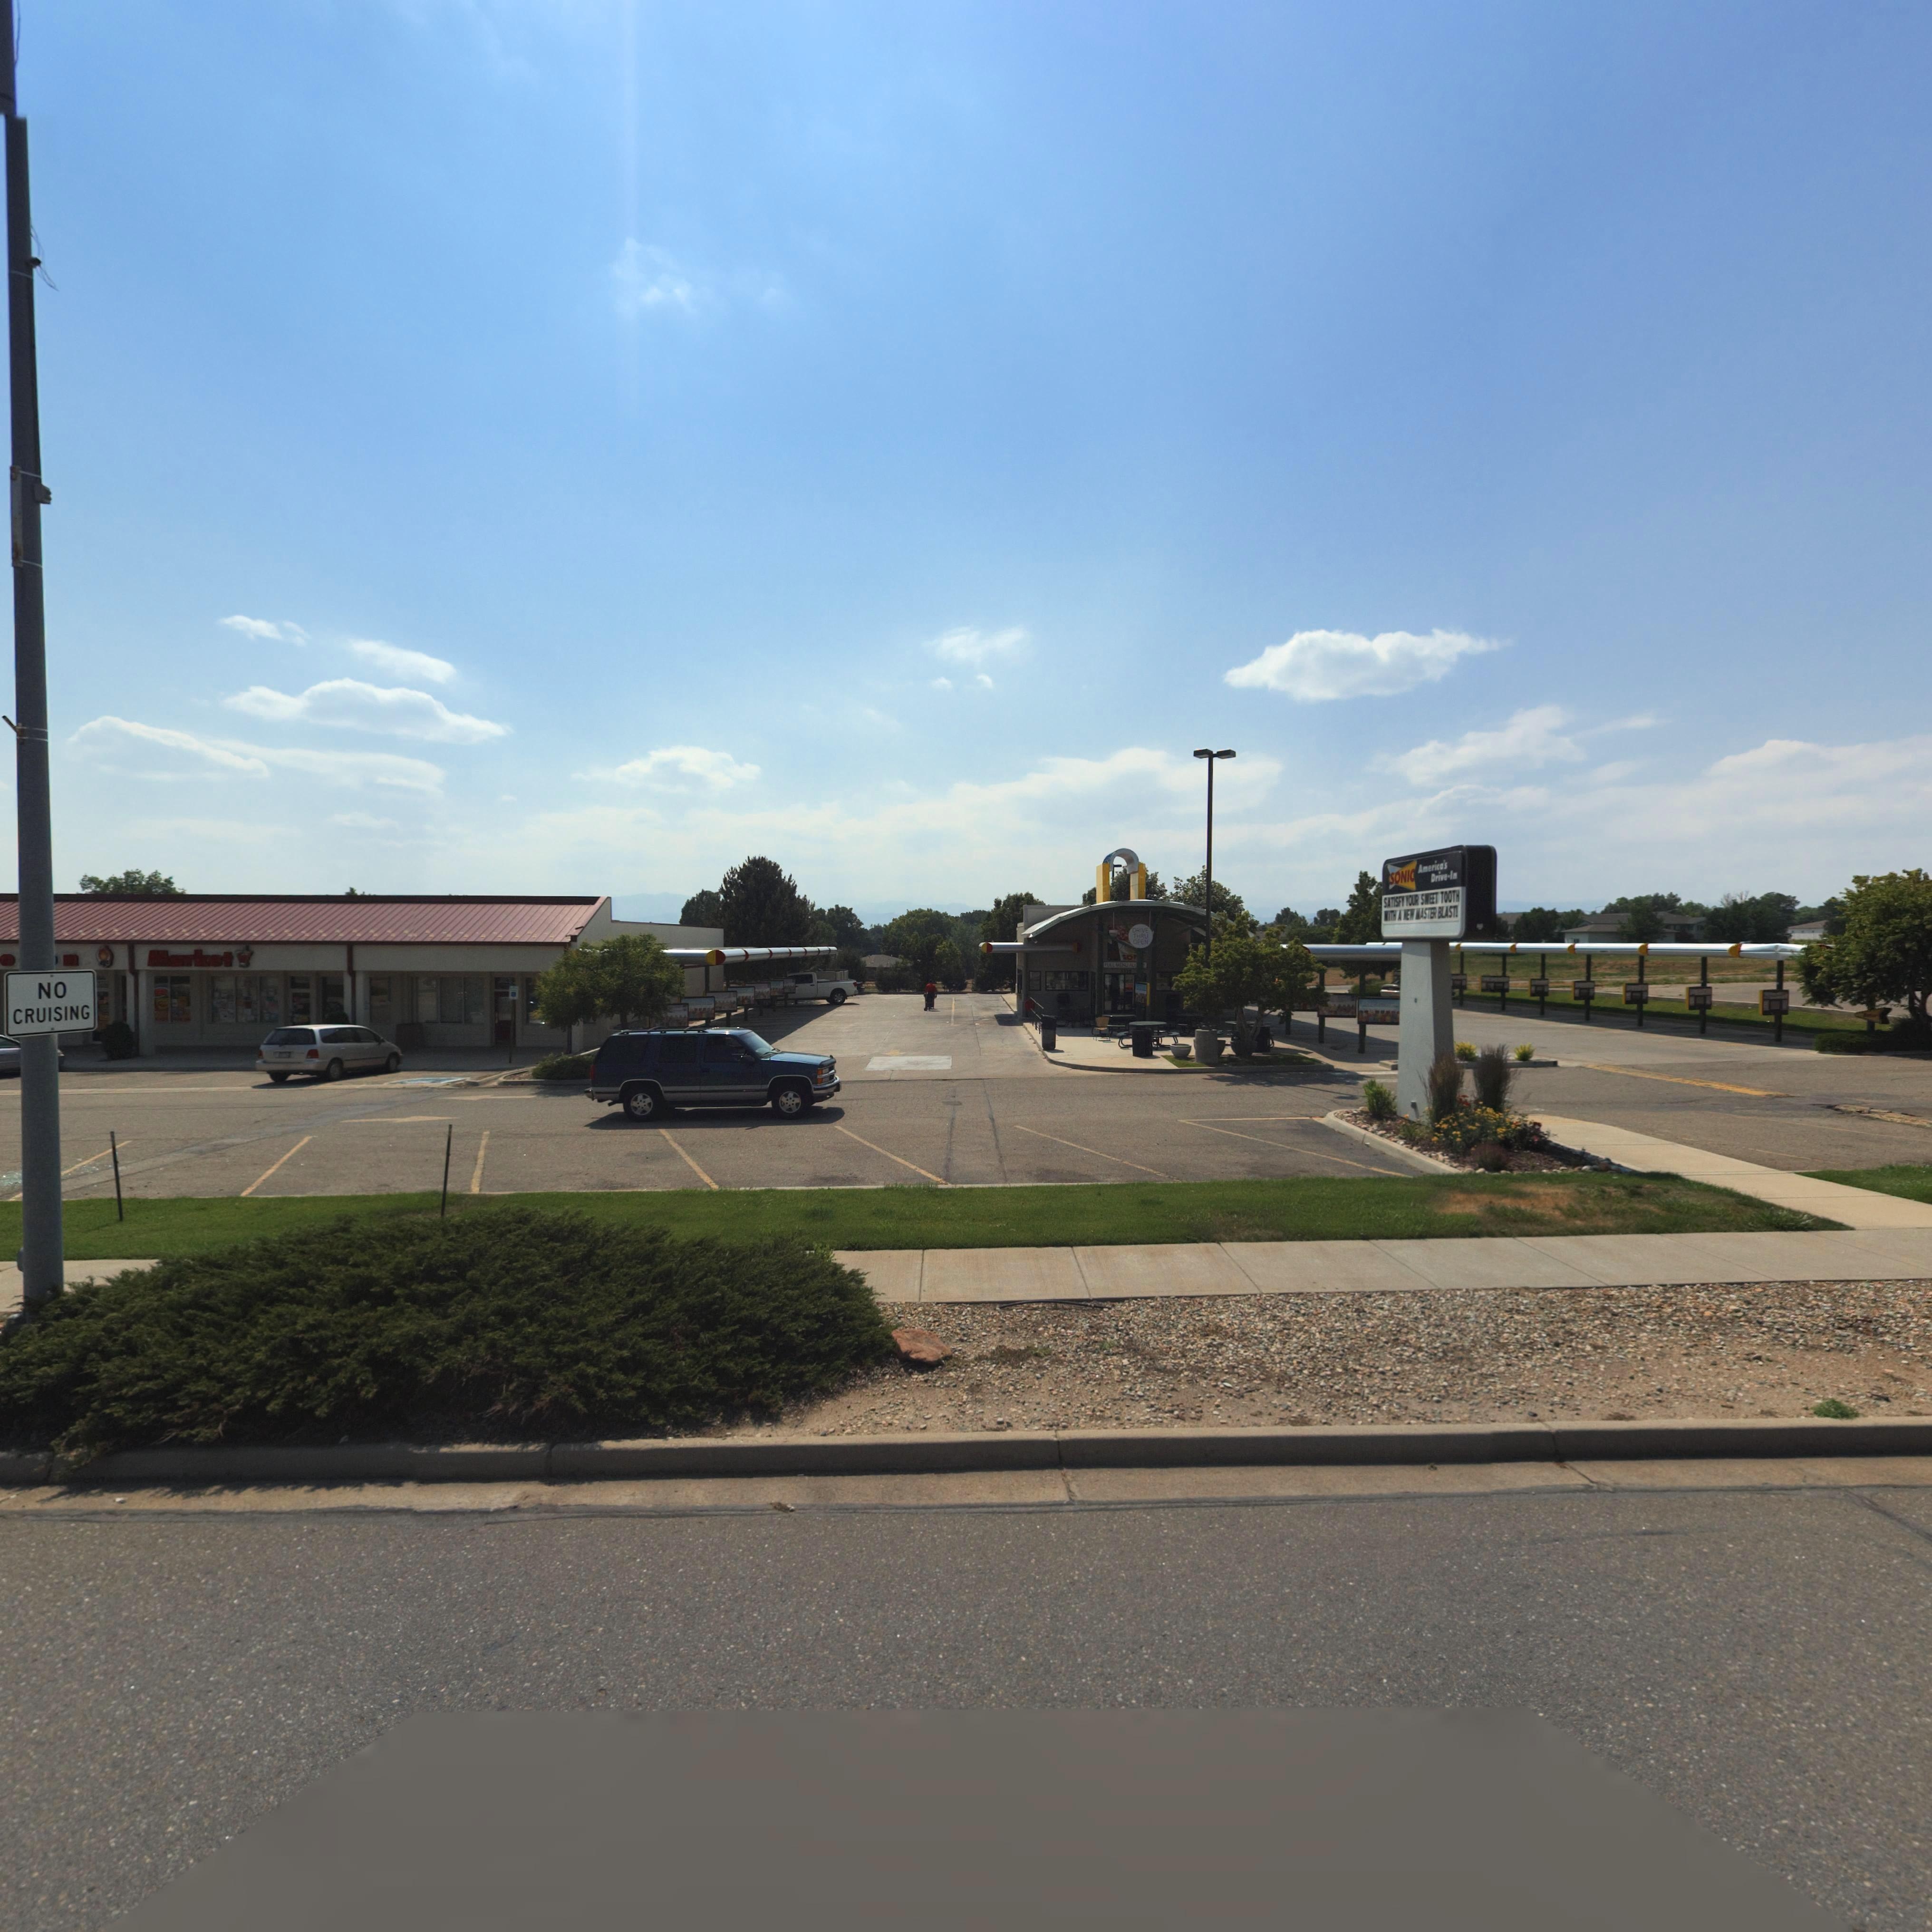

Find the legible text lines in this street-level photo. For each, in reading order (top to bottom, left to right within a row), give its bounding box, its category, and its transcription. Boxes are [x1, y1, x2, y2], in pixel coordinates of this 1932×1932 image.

[1417, 859, 1448, 874] BusinessName: America's
[1389, 868, 1415, 885] BusinessName: SONIC
[1430, 869, 1458, 883] BusinessName: Drive-In